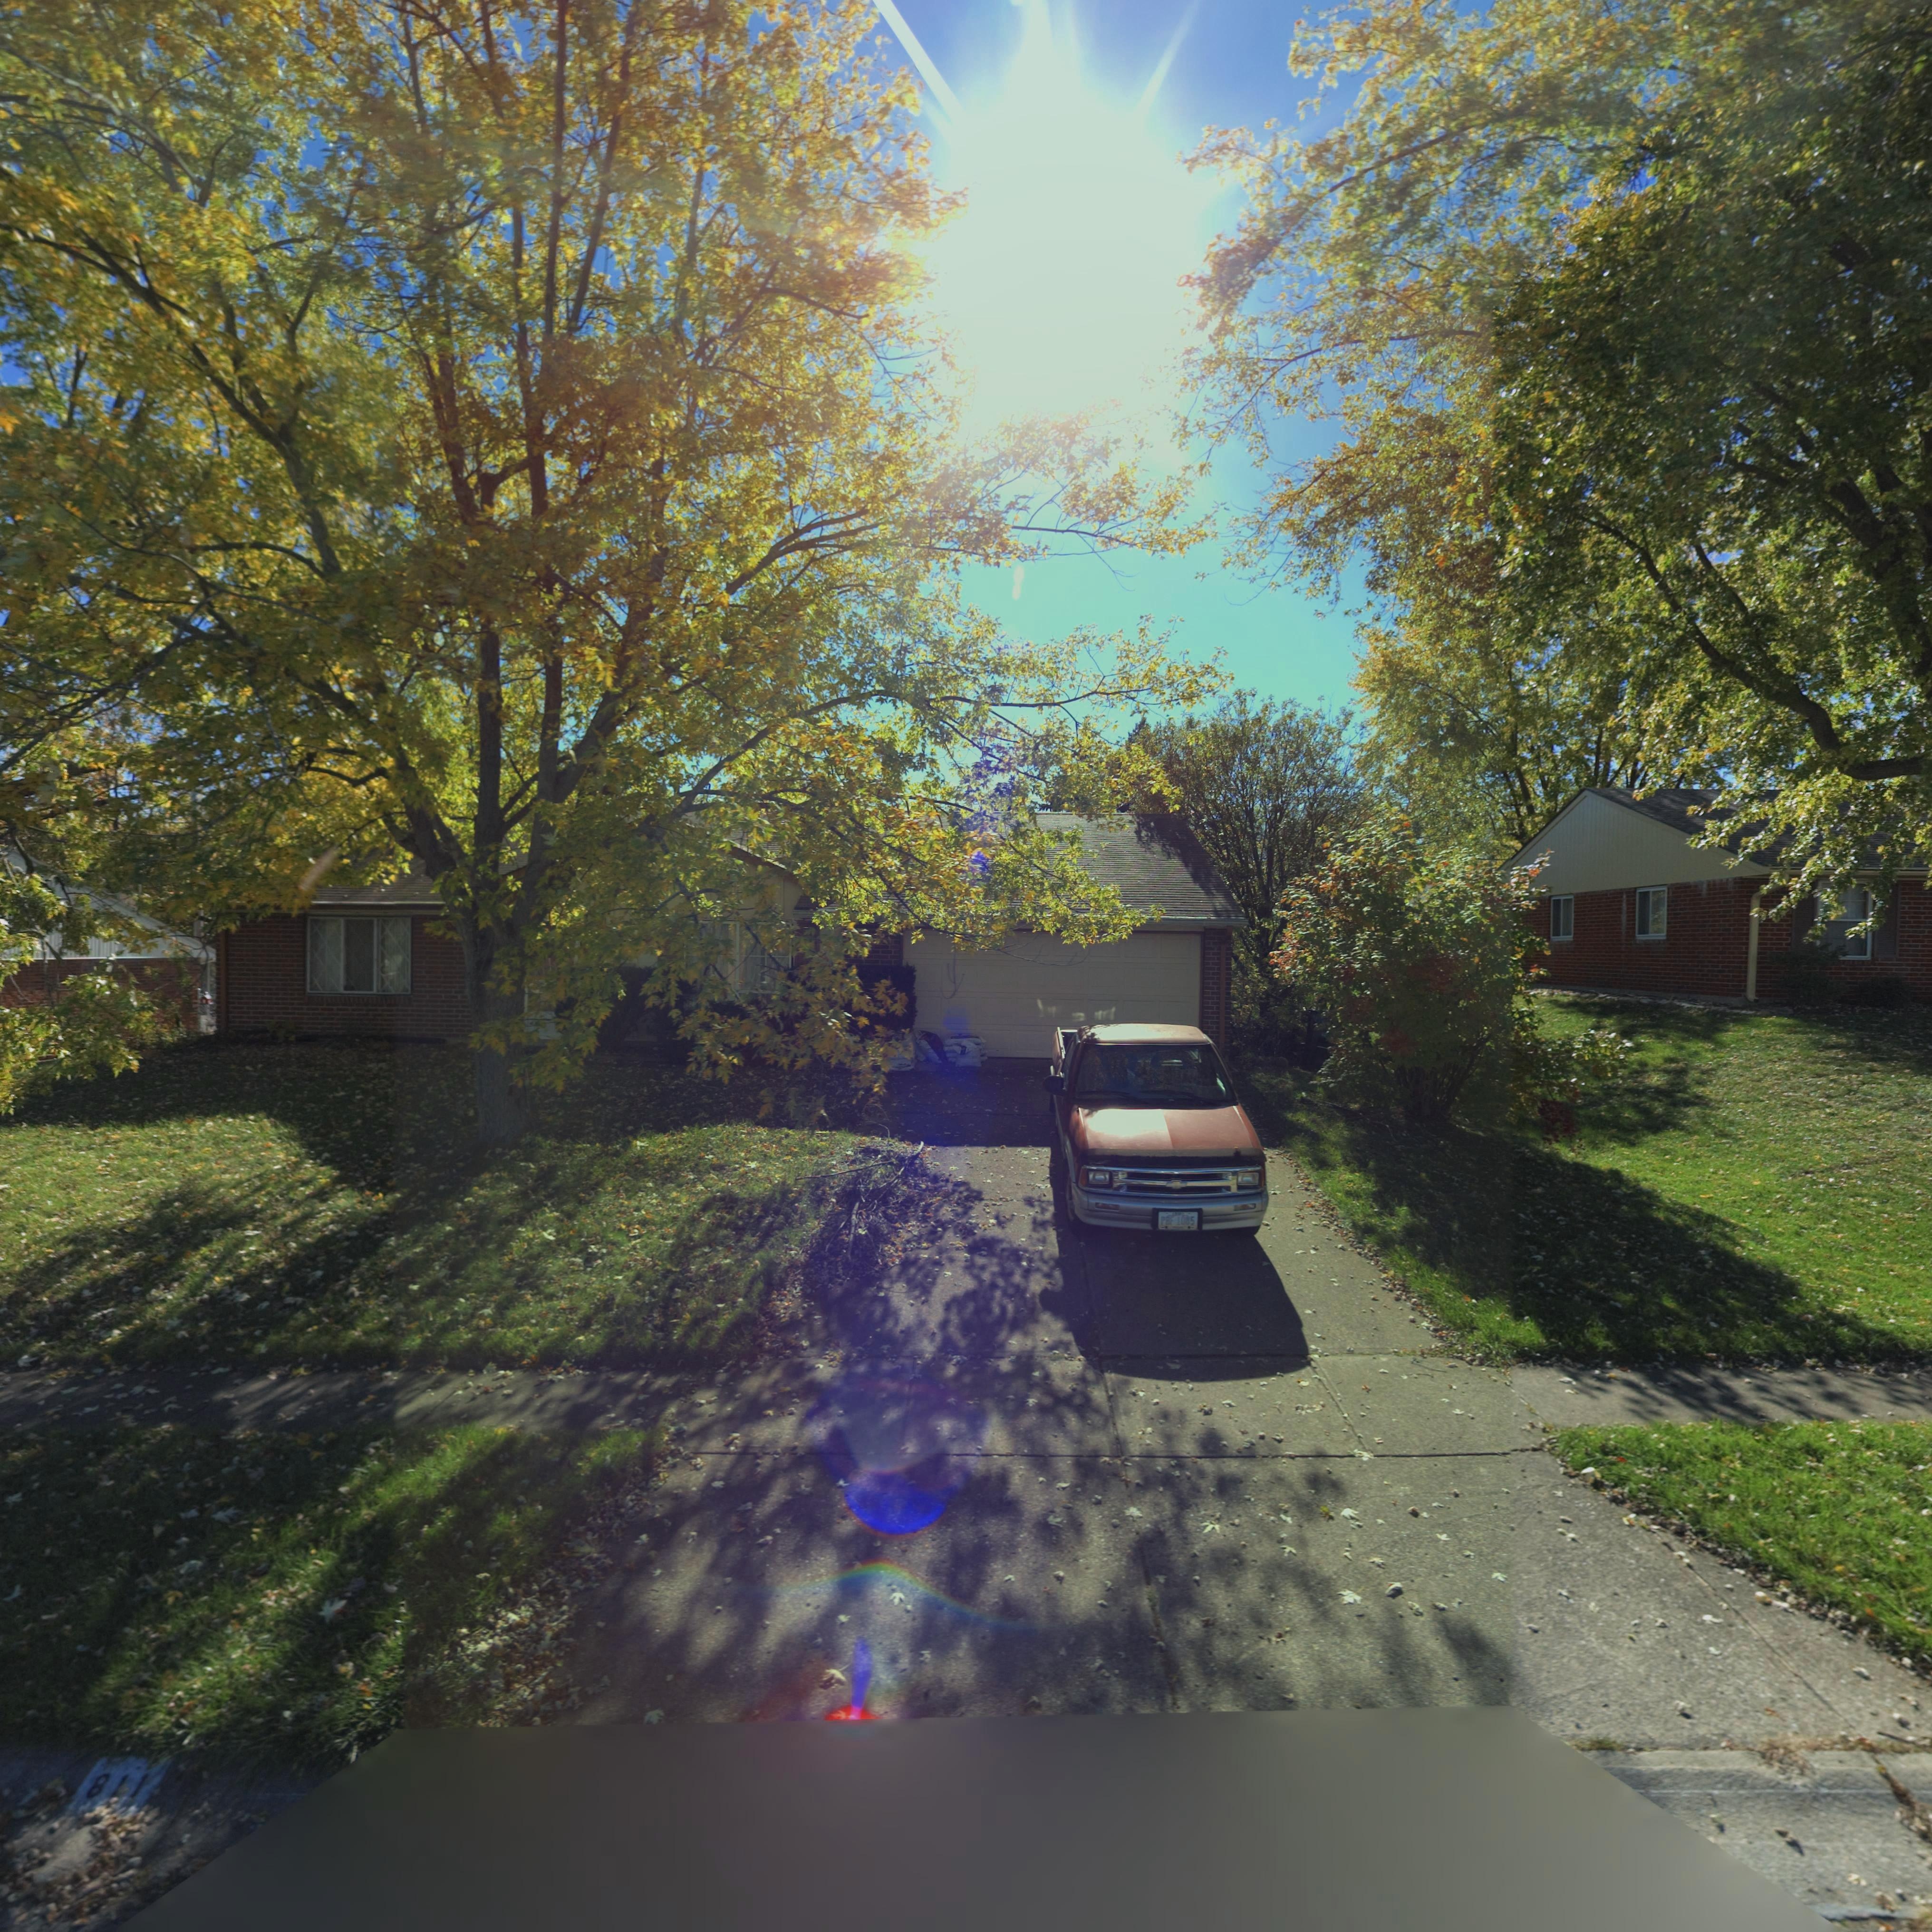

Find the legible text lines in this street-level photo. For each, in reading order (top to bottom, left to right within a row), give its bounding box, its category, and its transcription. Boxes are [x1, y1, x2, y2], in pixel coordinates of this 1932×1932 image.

[84, 1772, 151, 1800] StreetNumber: 811